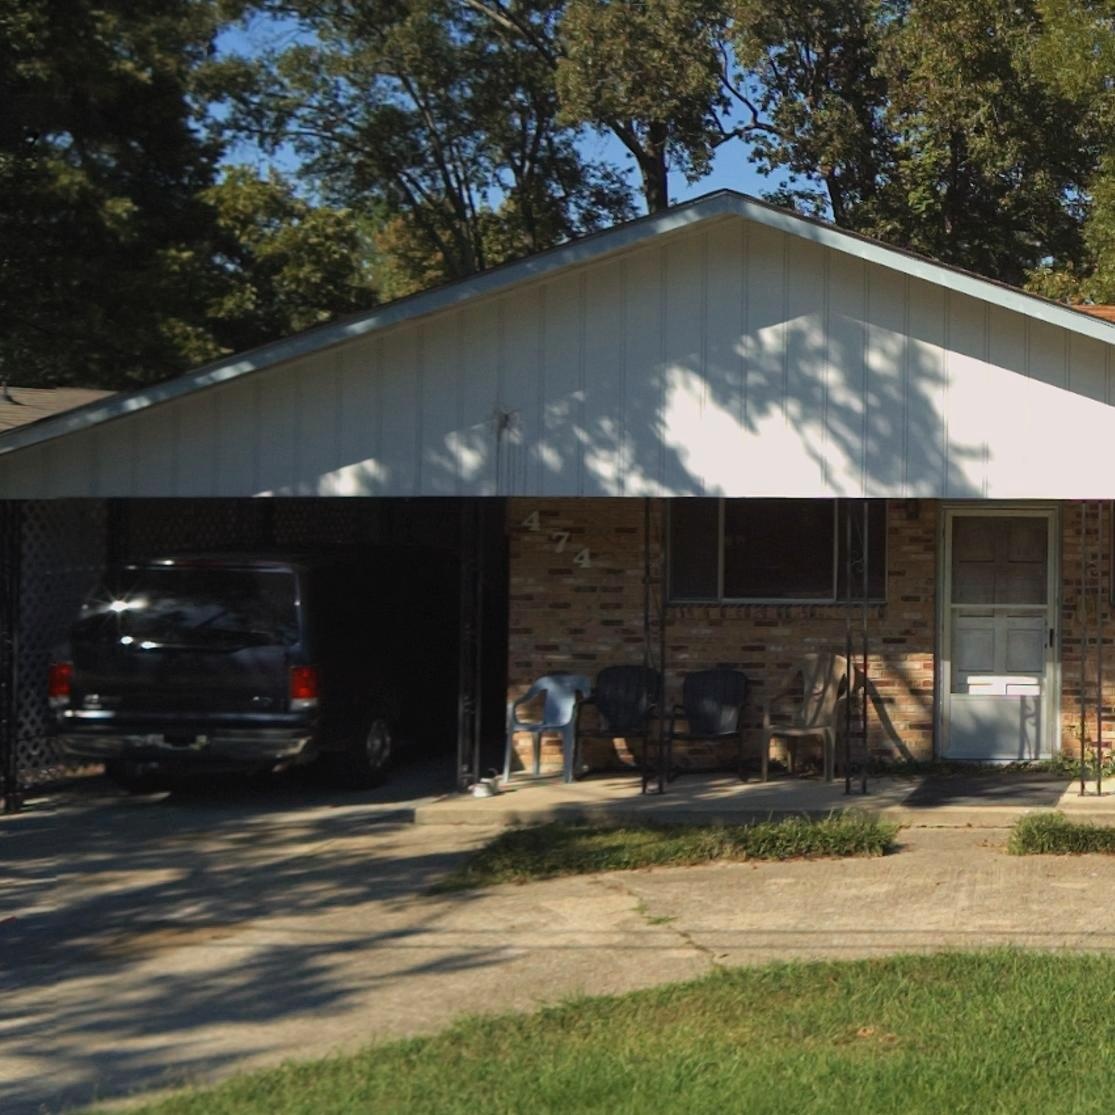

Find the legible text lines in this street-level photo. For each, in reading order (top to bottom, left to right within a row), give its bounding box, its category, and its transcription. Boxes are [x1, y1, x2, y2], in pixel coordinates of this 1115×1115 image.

[520, 509, 593, 570] StreetNumber: 474